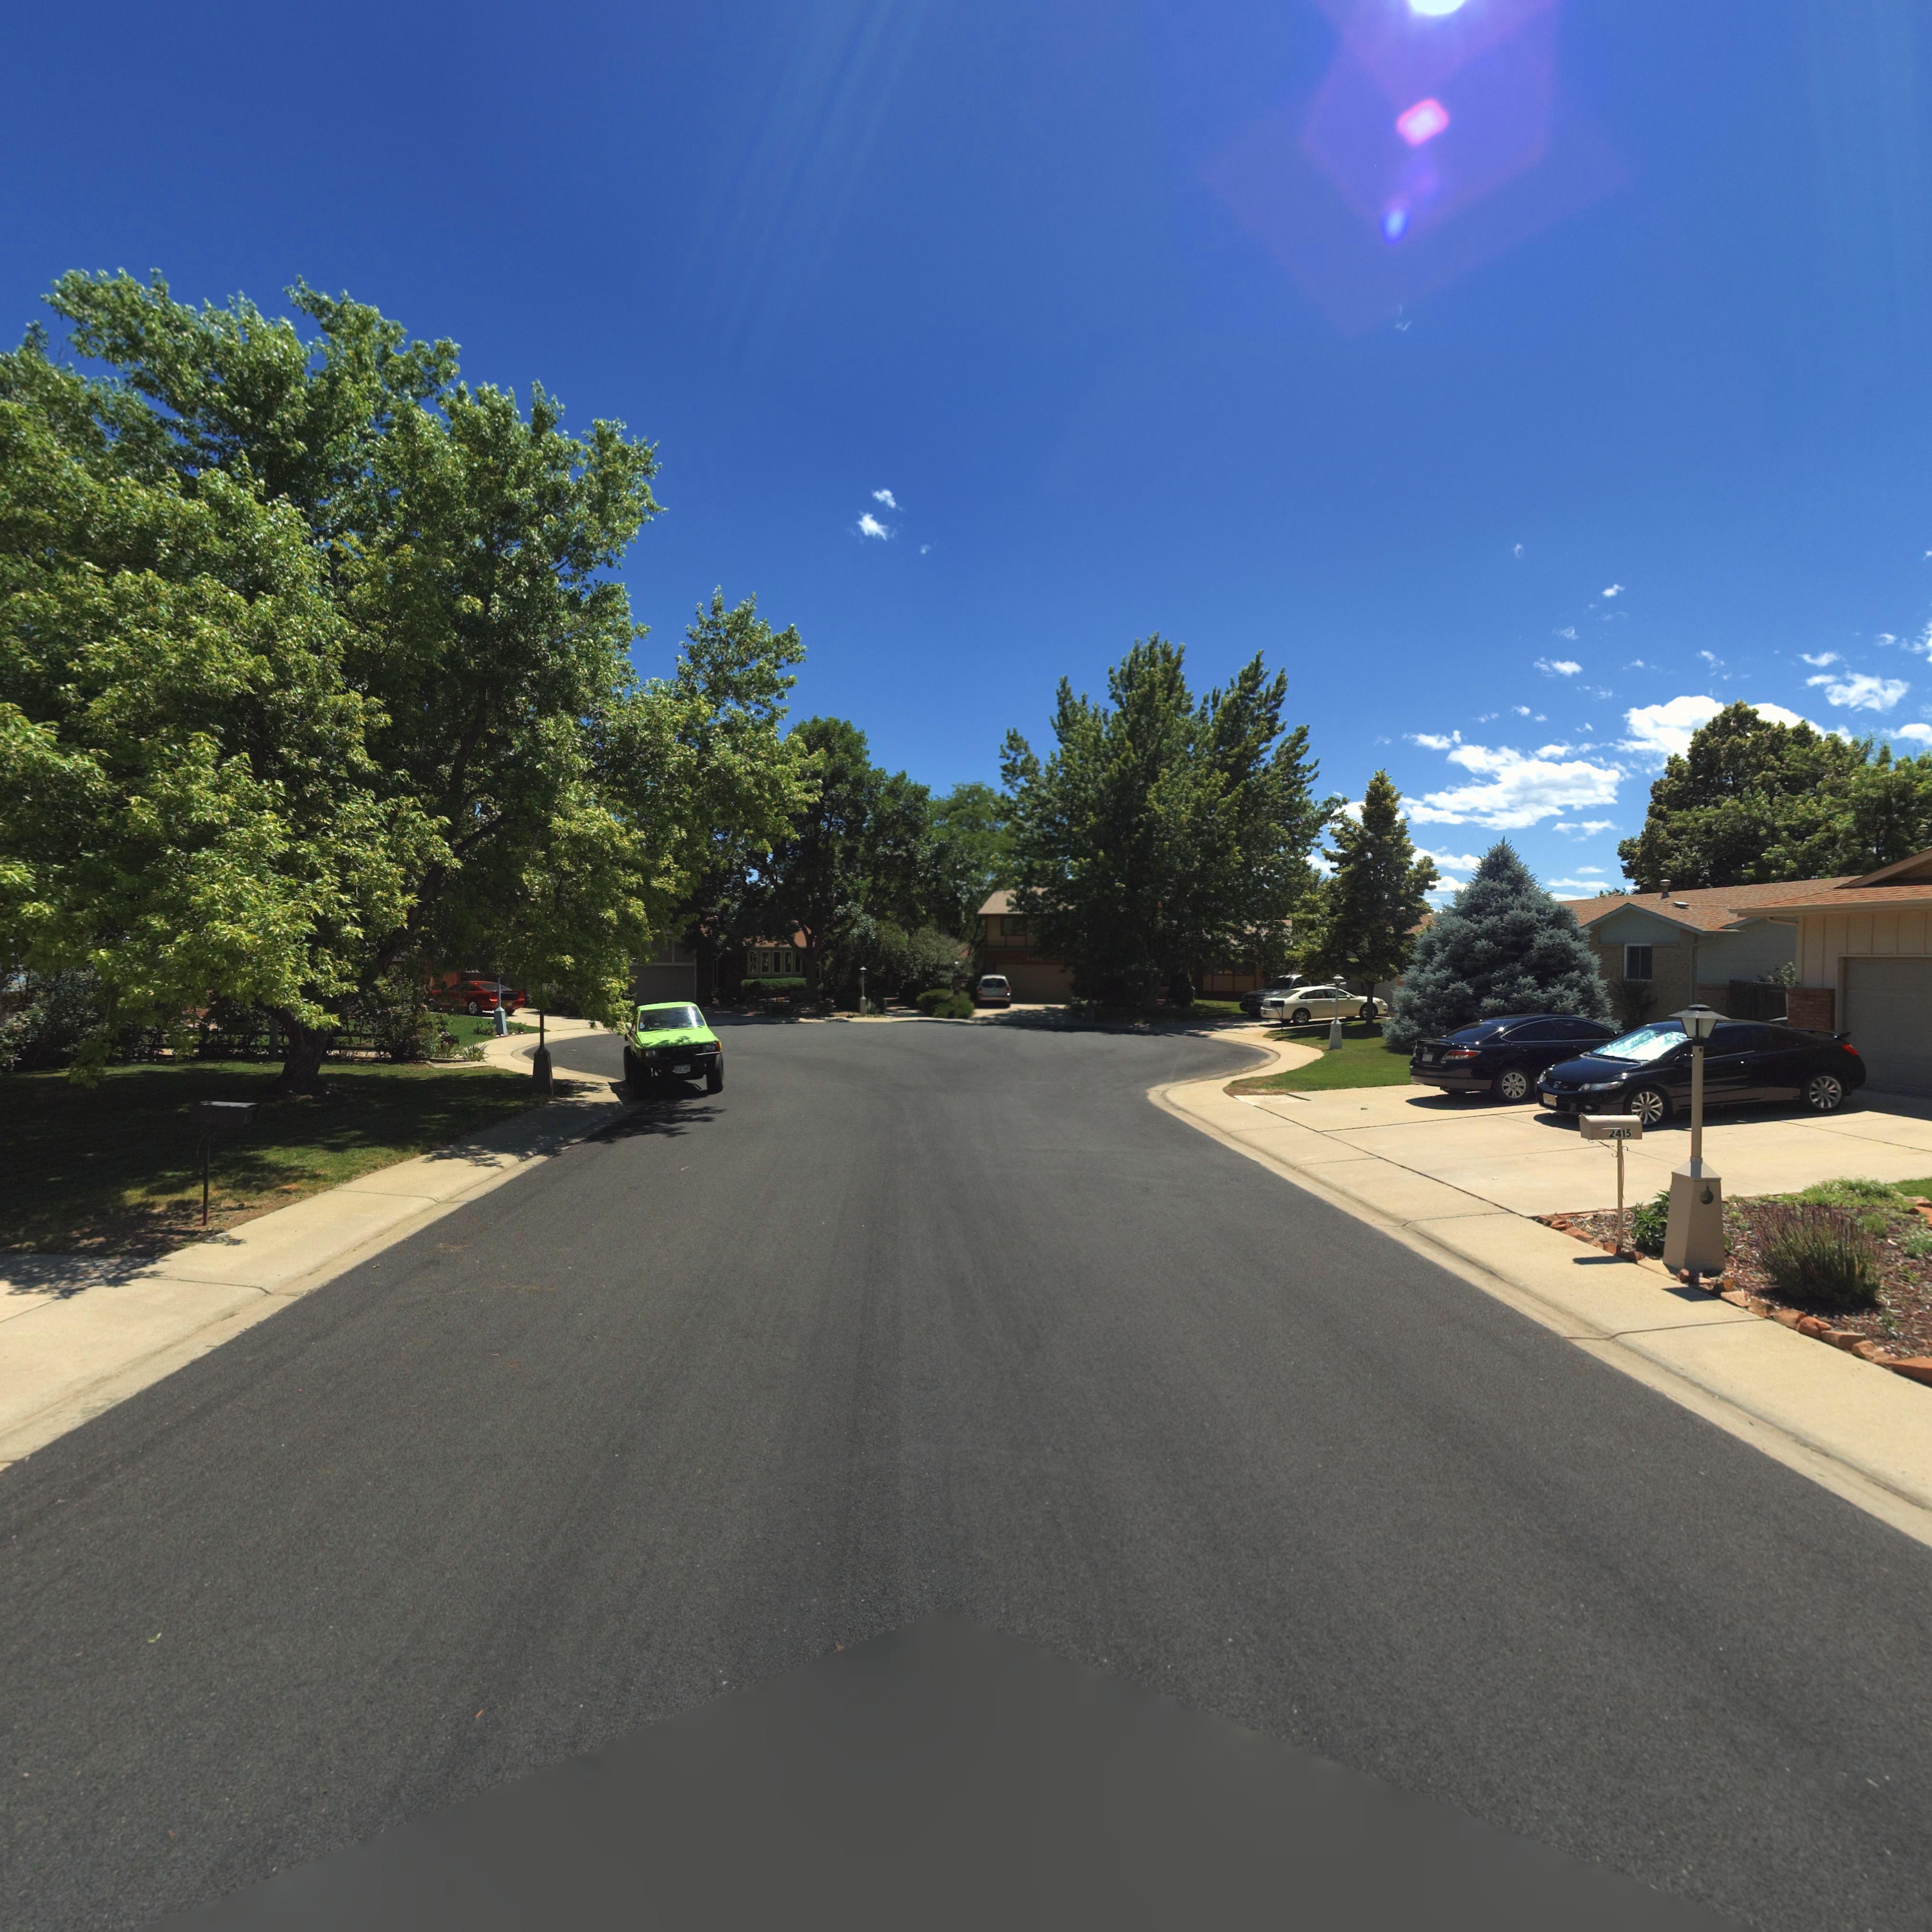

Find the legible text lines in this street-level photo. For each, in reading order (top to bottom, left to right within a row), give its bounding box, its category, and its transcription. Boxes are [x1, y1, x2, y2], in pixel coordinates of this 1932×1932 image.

[1608, 1129, 1632, 1138] StreetNumber: *415